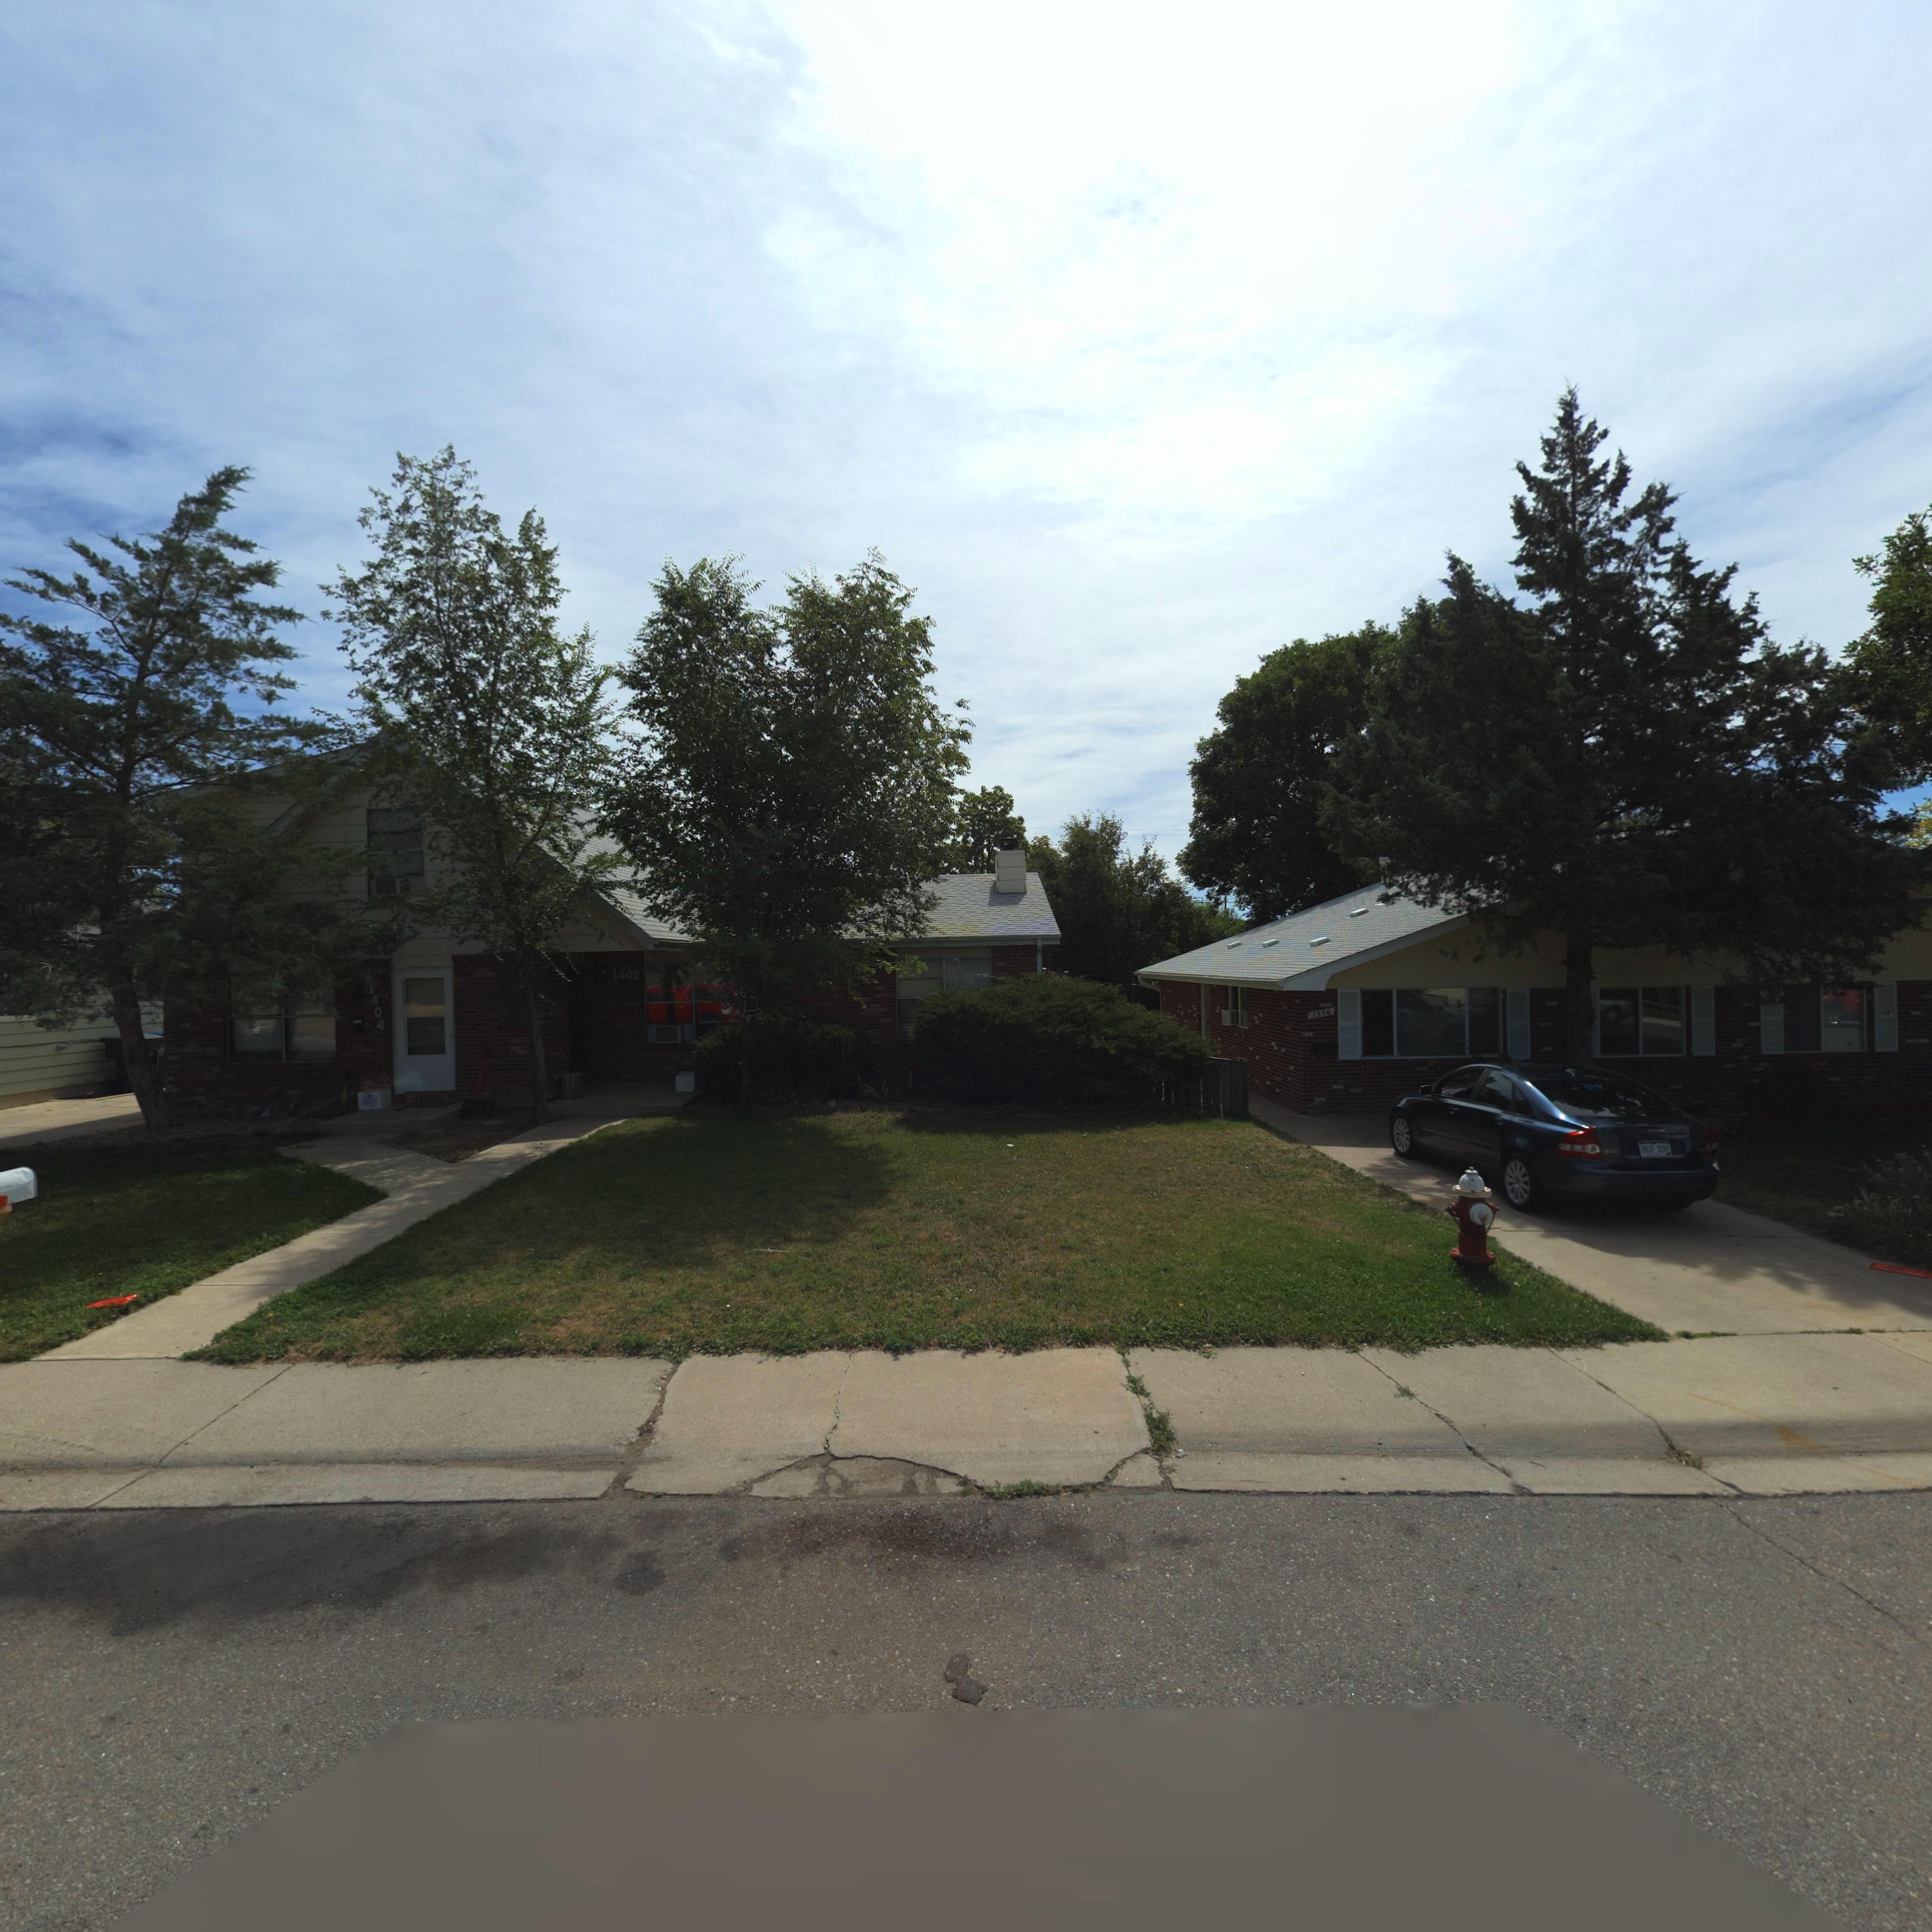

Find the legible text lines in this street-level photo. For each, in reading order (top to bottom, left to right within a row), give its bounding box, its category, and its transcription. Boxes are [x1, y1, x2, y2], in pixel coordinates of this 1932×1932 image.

[613, 969, 639, 980] StreetNumber: 1402
[369, 981, 385, 1031] StreetNumber: 1404
[1312, 1008, 1331, 1018] StreetNumber: 1356